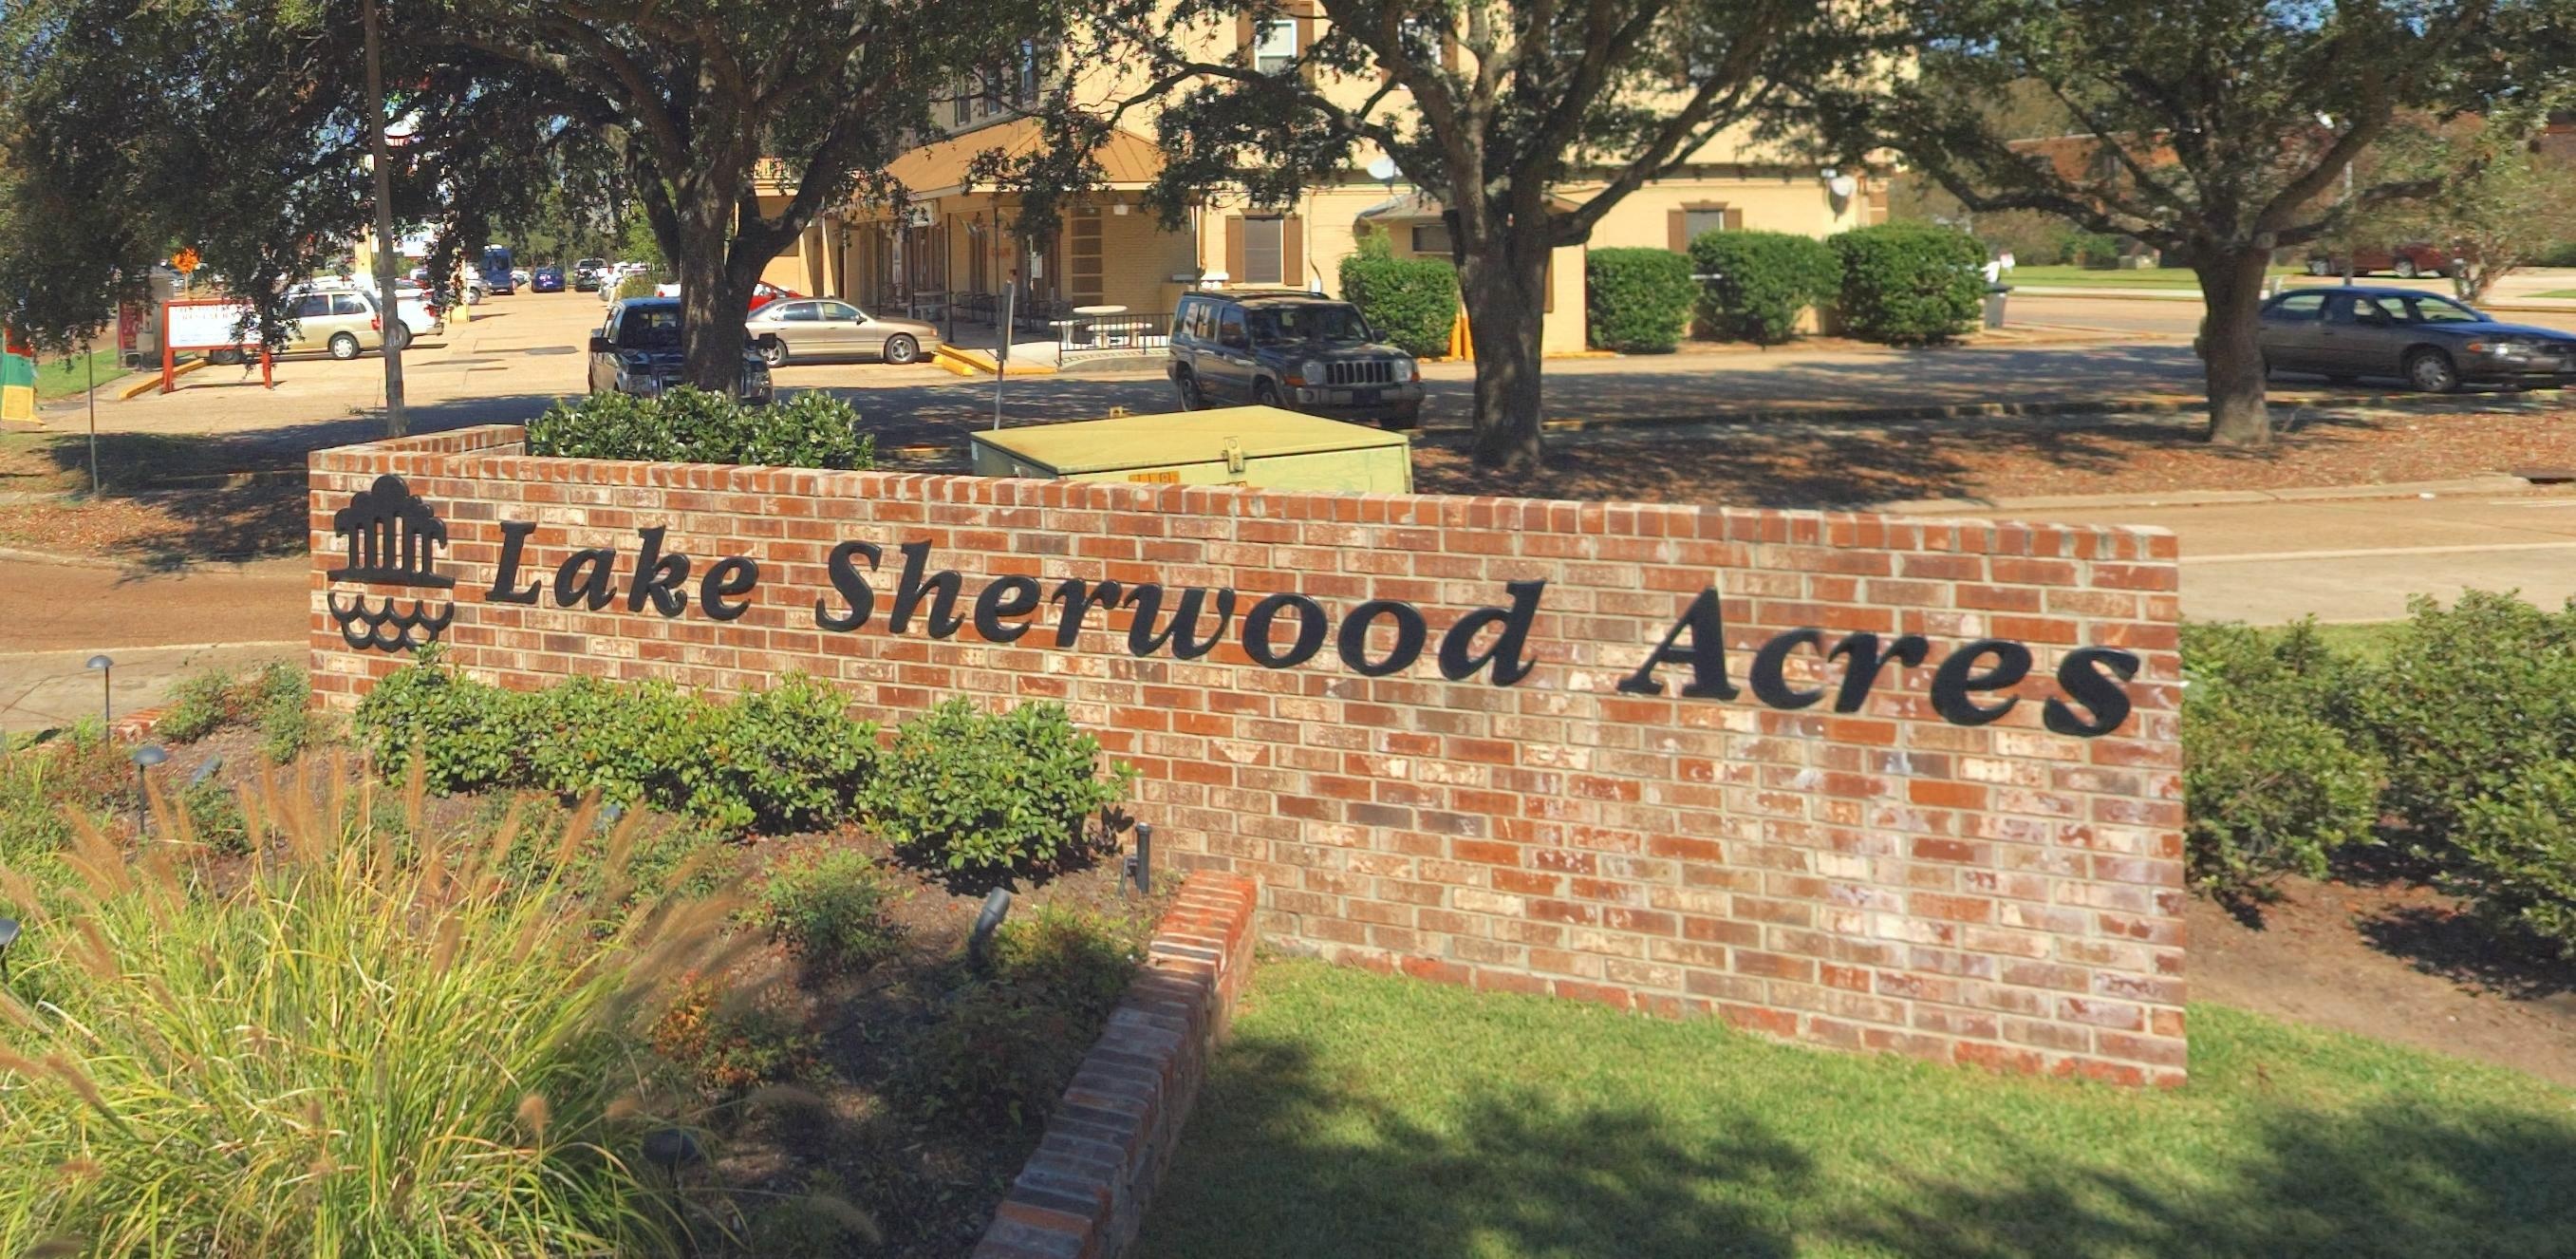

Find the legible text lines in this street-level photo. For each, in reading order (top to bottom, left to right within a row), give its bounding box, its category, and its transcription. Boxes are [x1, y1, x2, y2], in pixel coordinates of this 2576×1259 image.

[479, 515, 2150, 745] BusinessName: Lake Sherwood Acres 